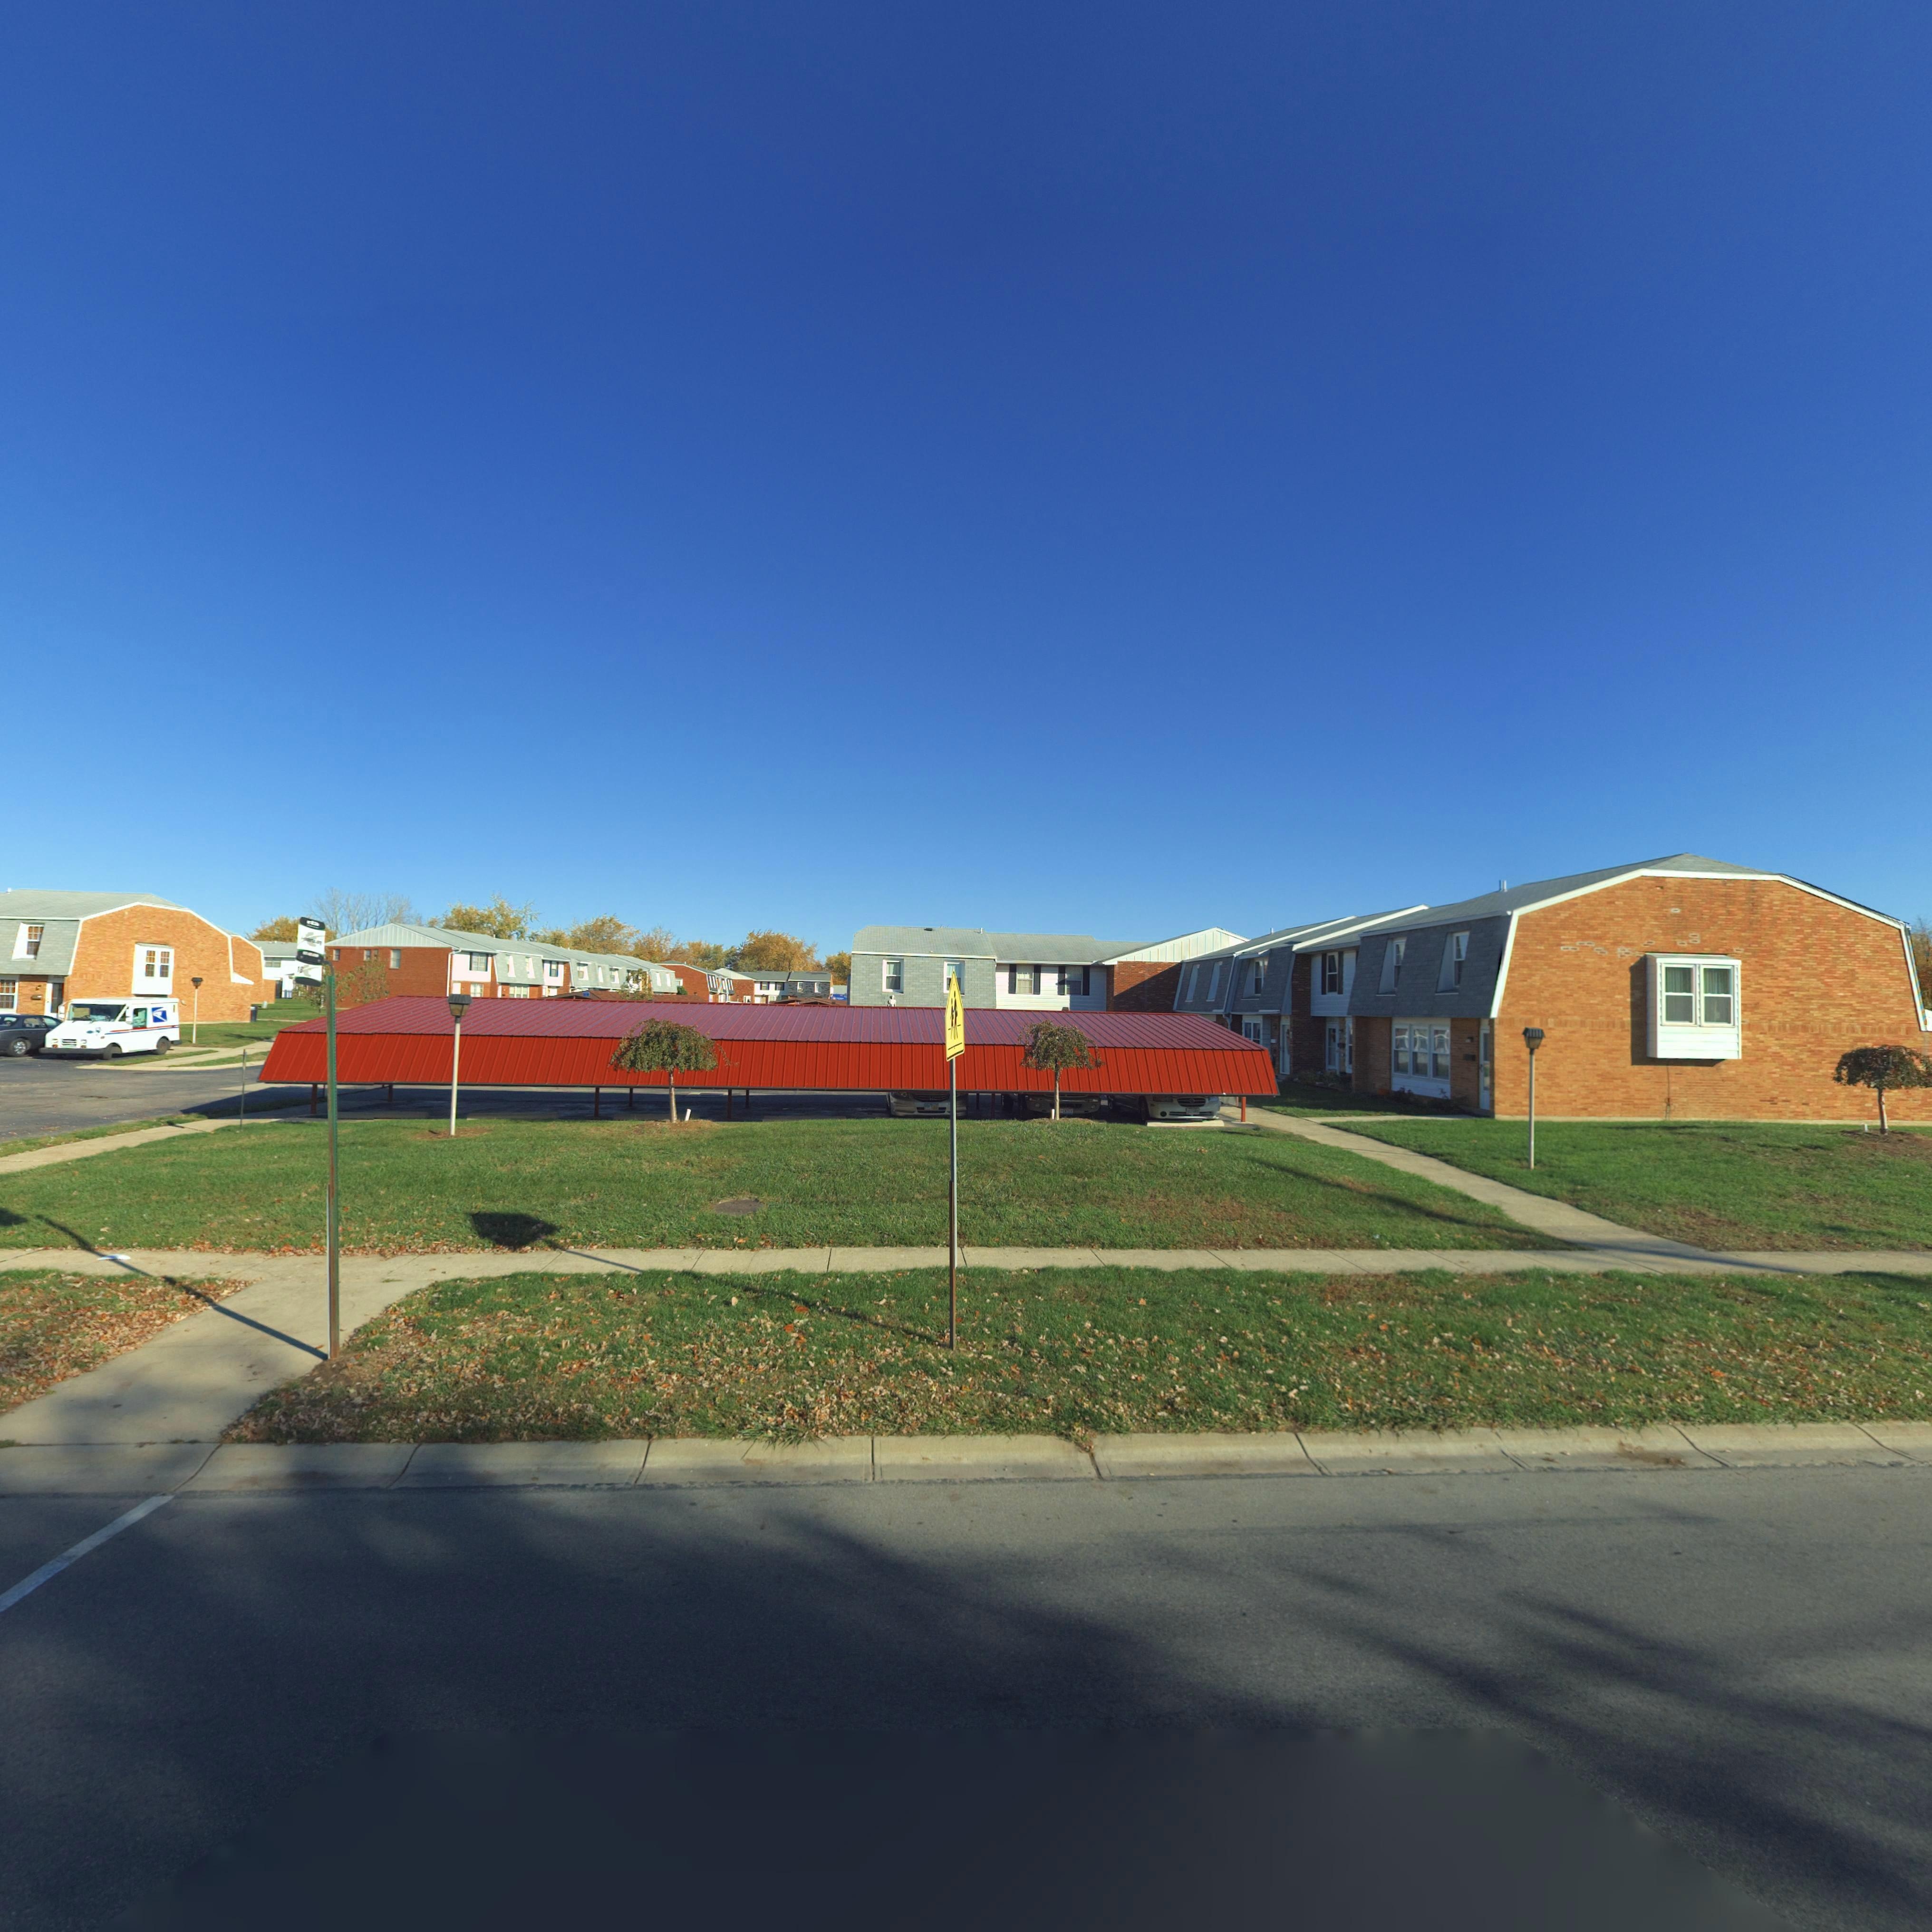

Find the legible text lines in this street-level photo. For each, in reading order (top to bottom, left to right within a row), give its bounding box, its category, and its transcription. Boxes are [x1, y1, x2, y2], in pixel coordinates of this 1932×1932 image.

[52, 975, 65, 979] StreetNumber: 75**